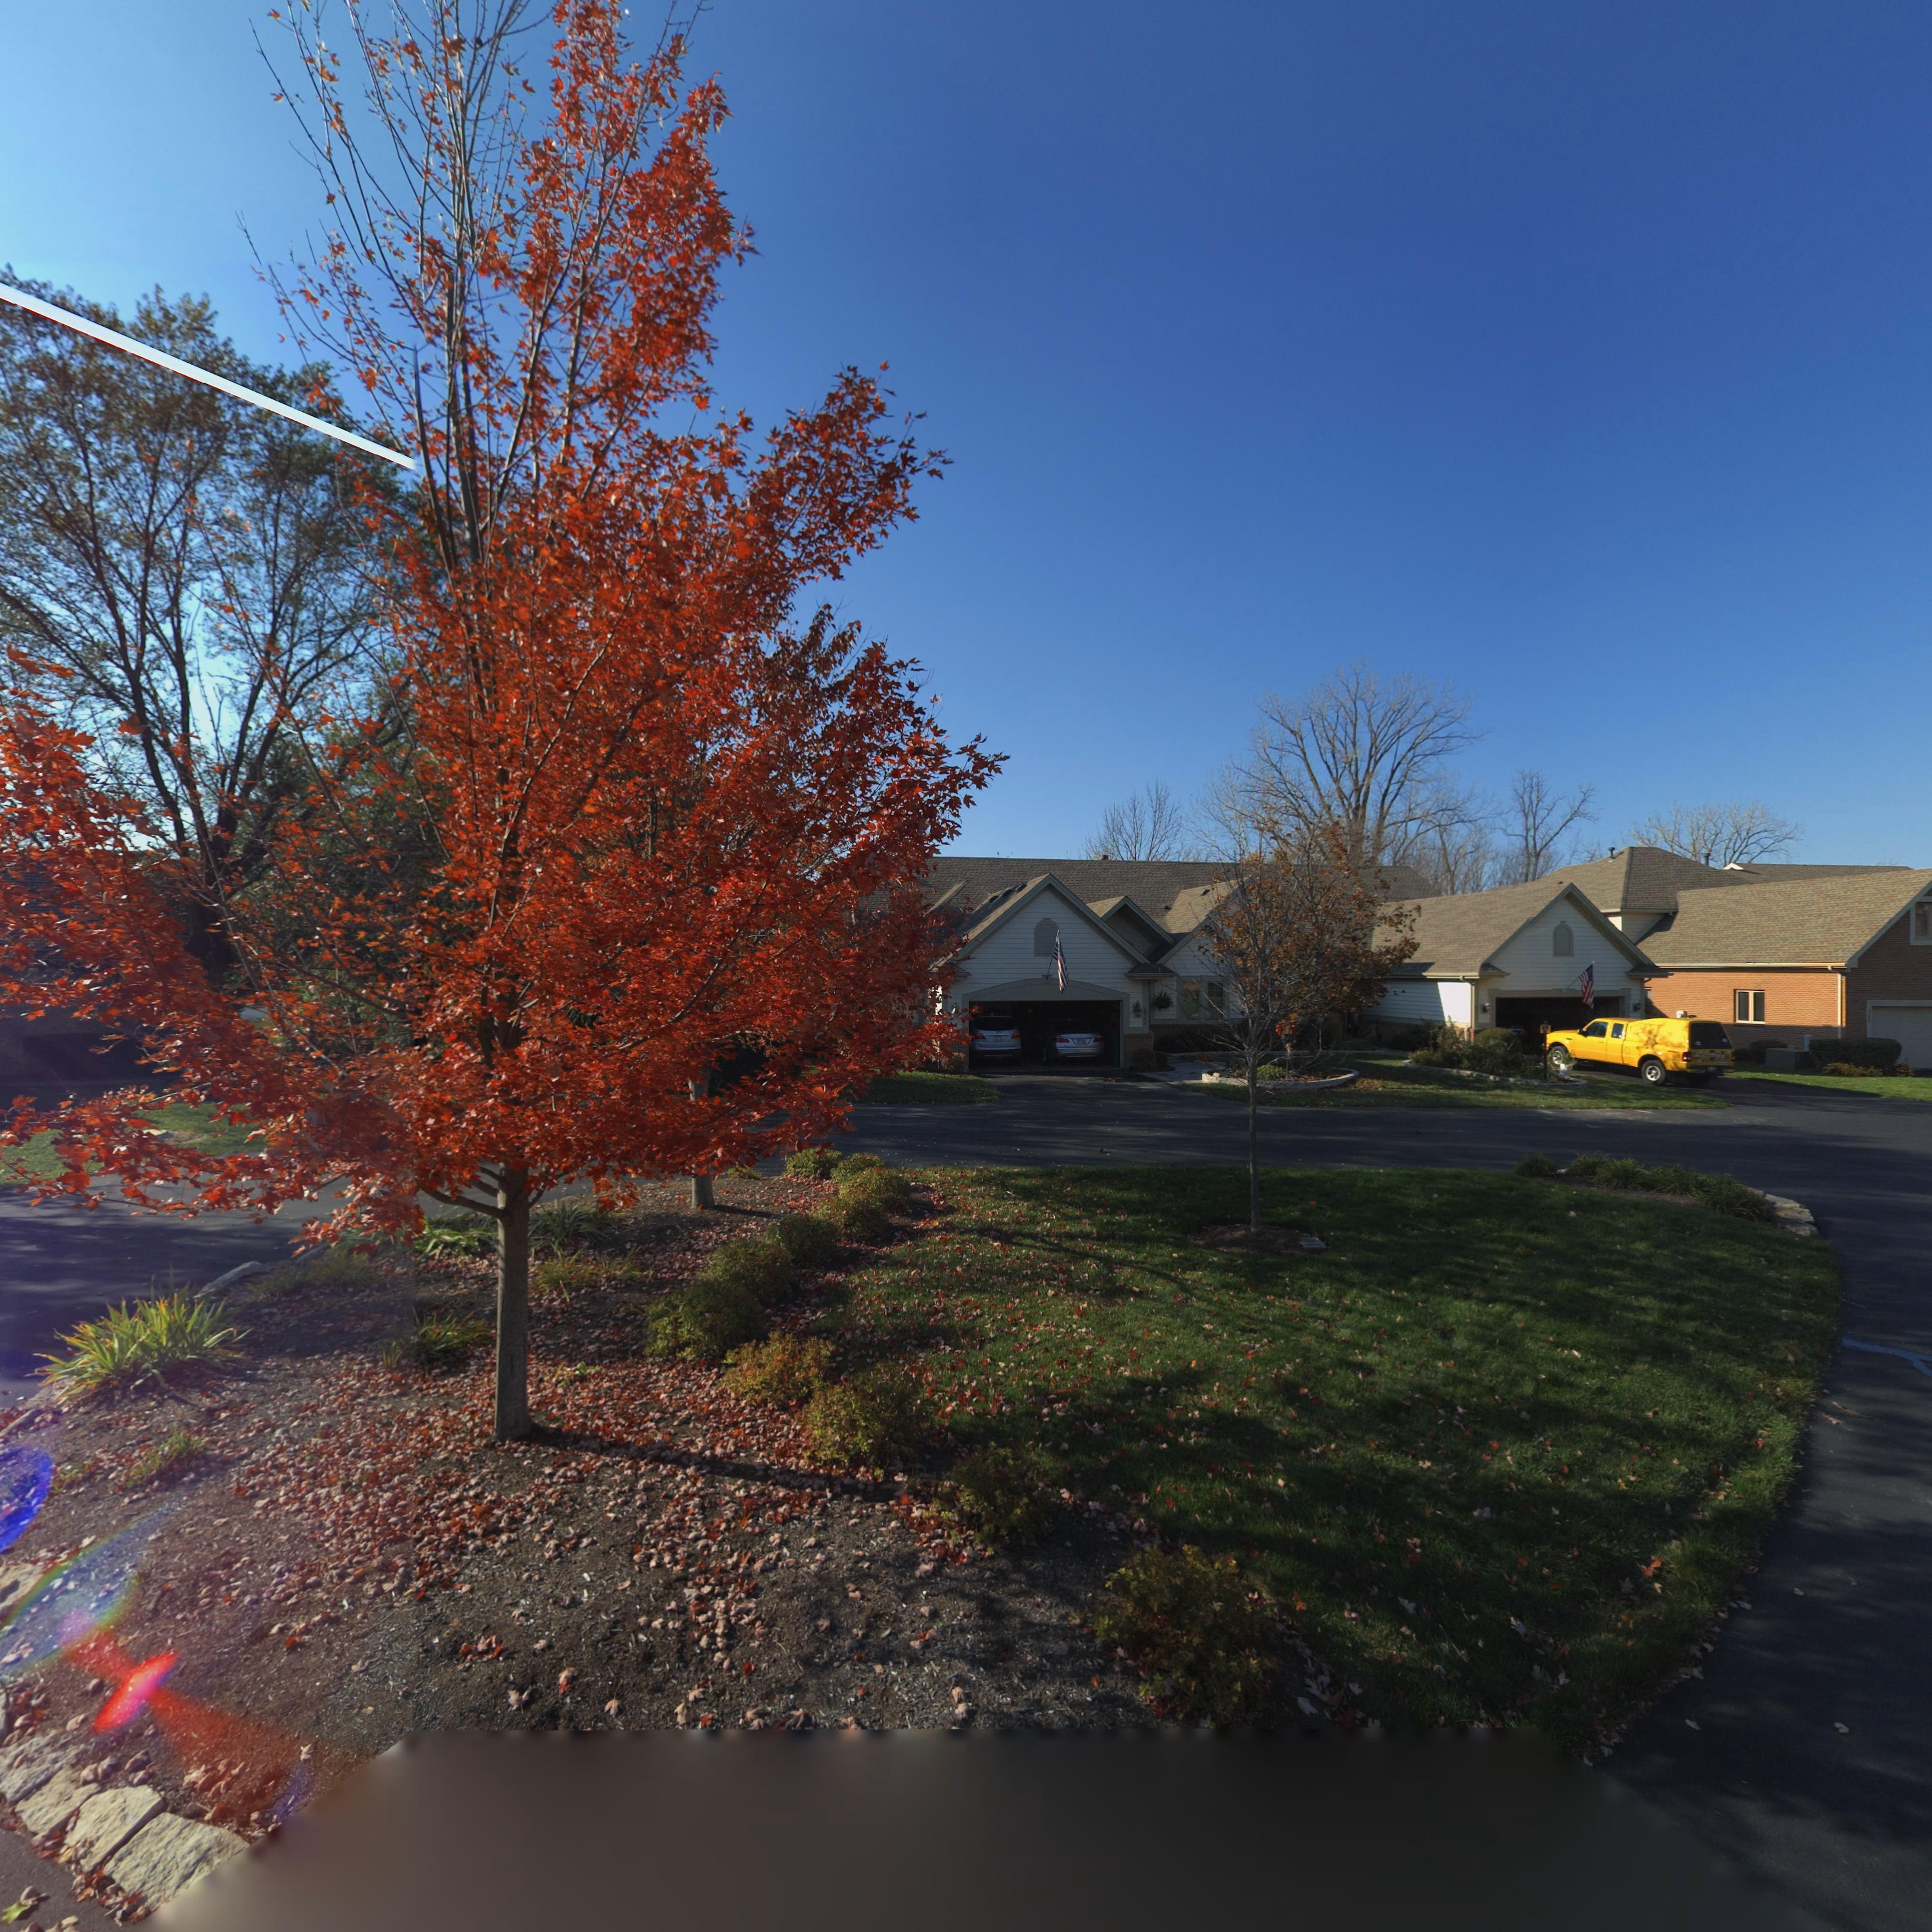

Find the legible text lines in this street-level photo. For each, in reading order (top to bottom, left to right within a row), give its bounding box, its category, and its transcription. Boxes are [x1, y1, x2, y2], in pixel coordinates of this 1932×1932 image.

[1143, 1007, 1148, 1025] StreetNumber: 877